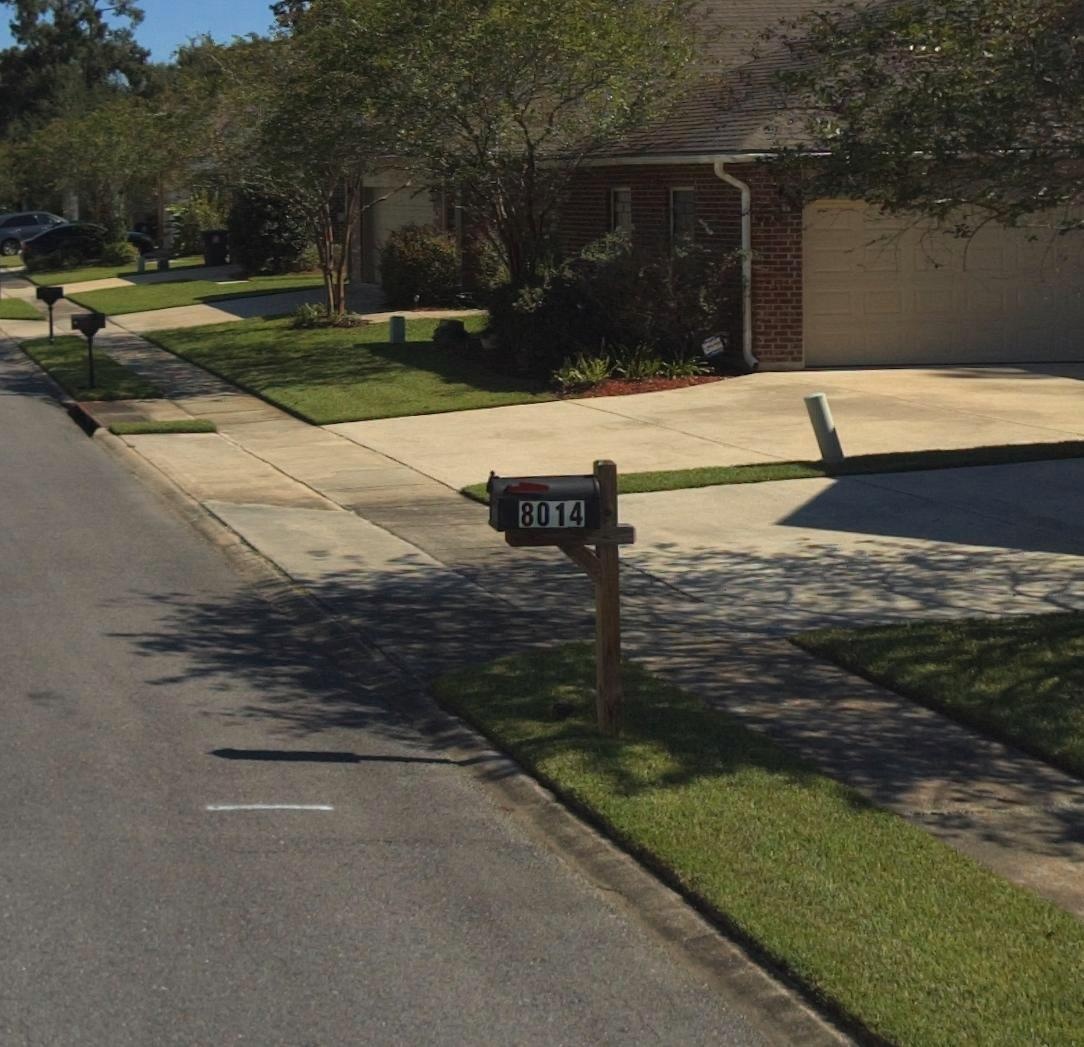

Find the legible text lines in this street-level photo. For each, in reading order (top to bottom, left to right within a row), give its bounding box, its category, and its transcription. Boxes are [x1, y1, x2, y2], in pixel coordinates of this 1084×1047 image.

[519, 499, 585, 528] StreetNumber: 8014